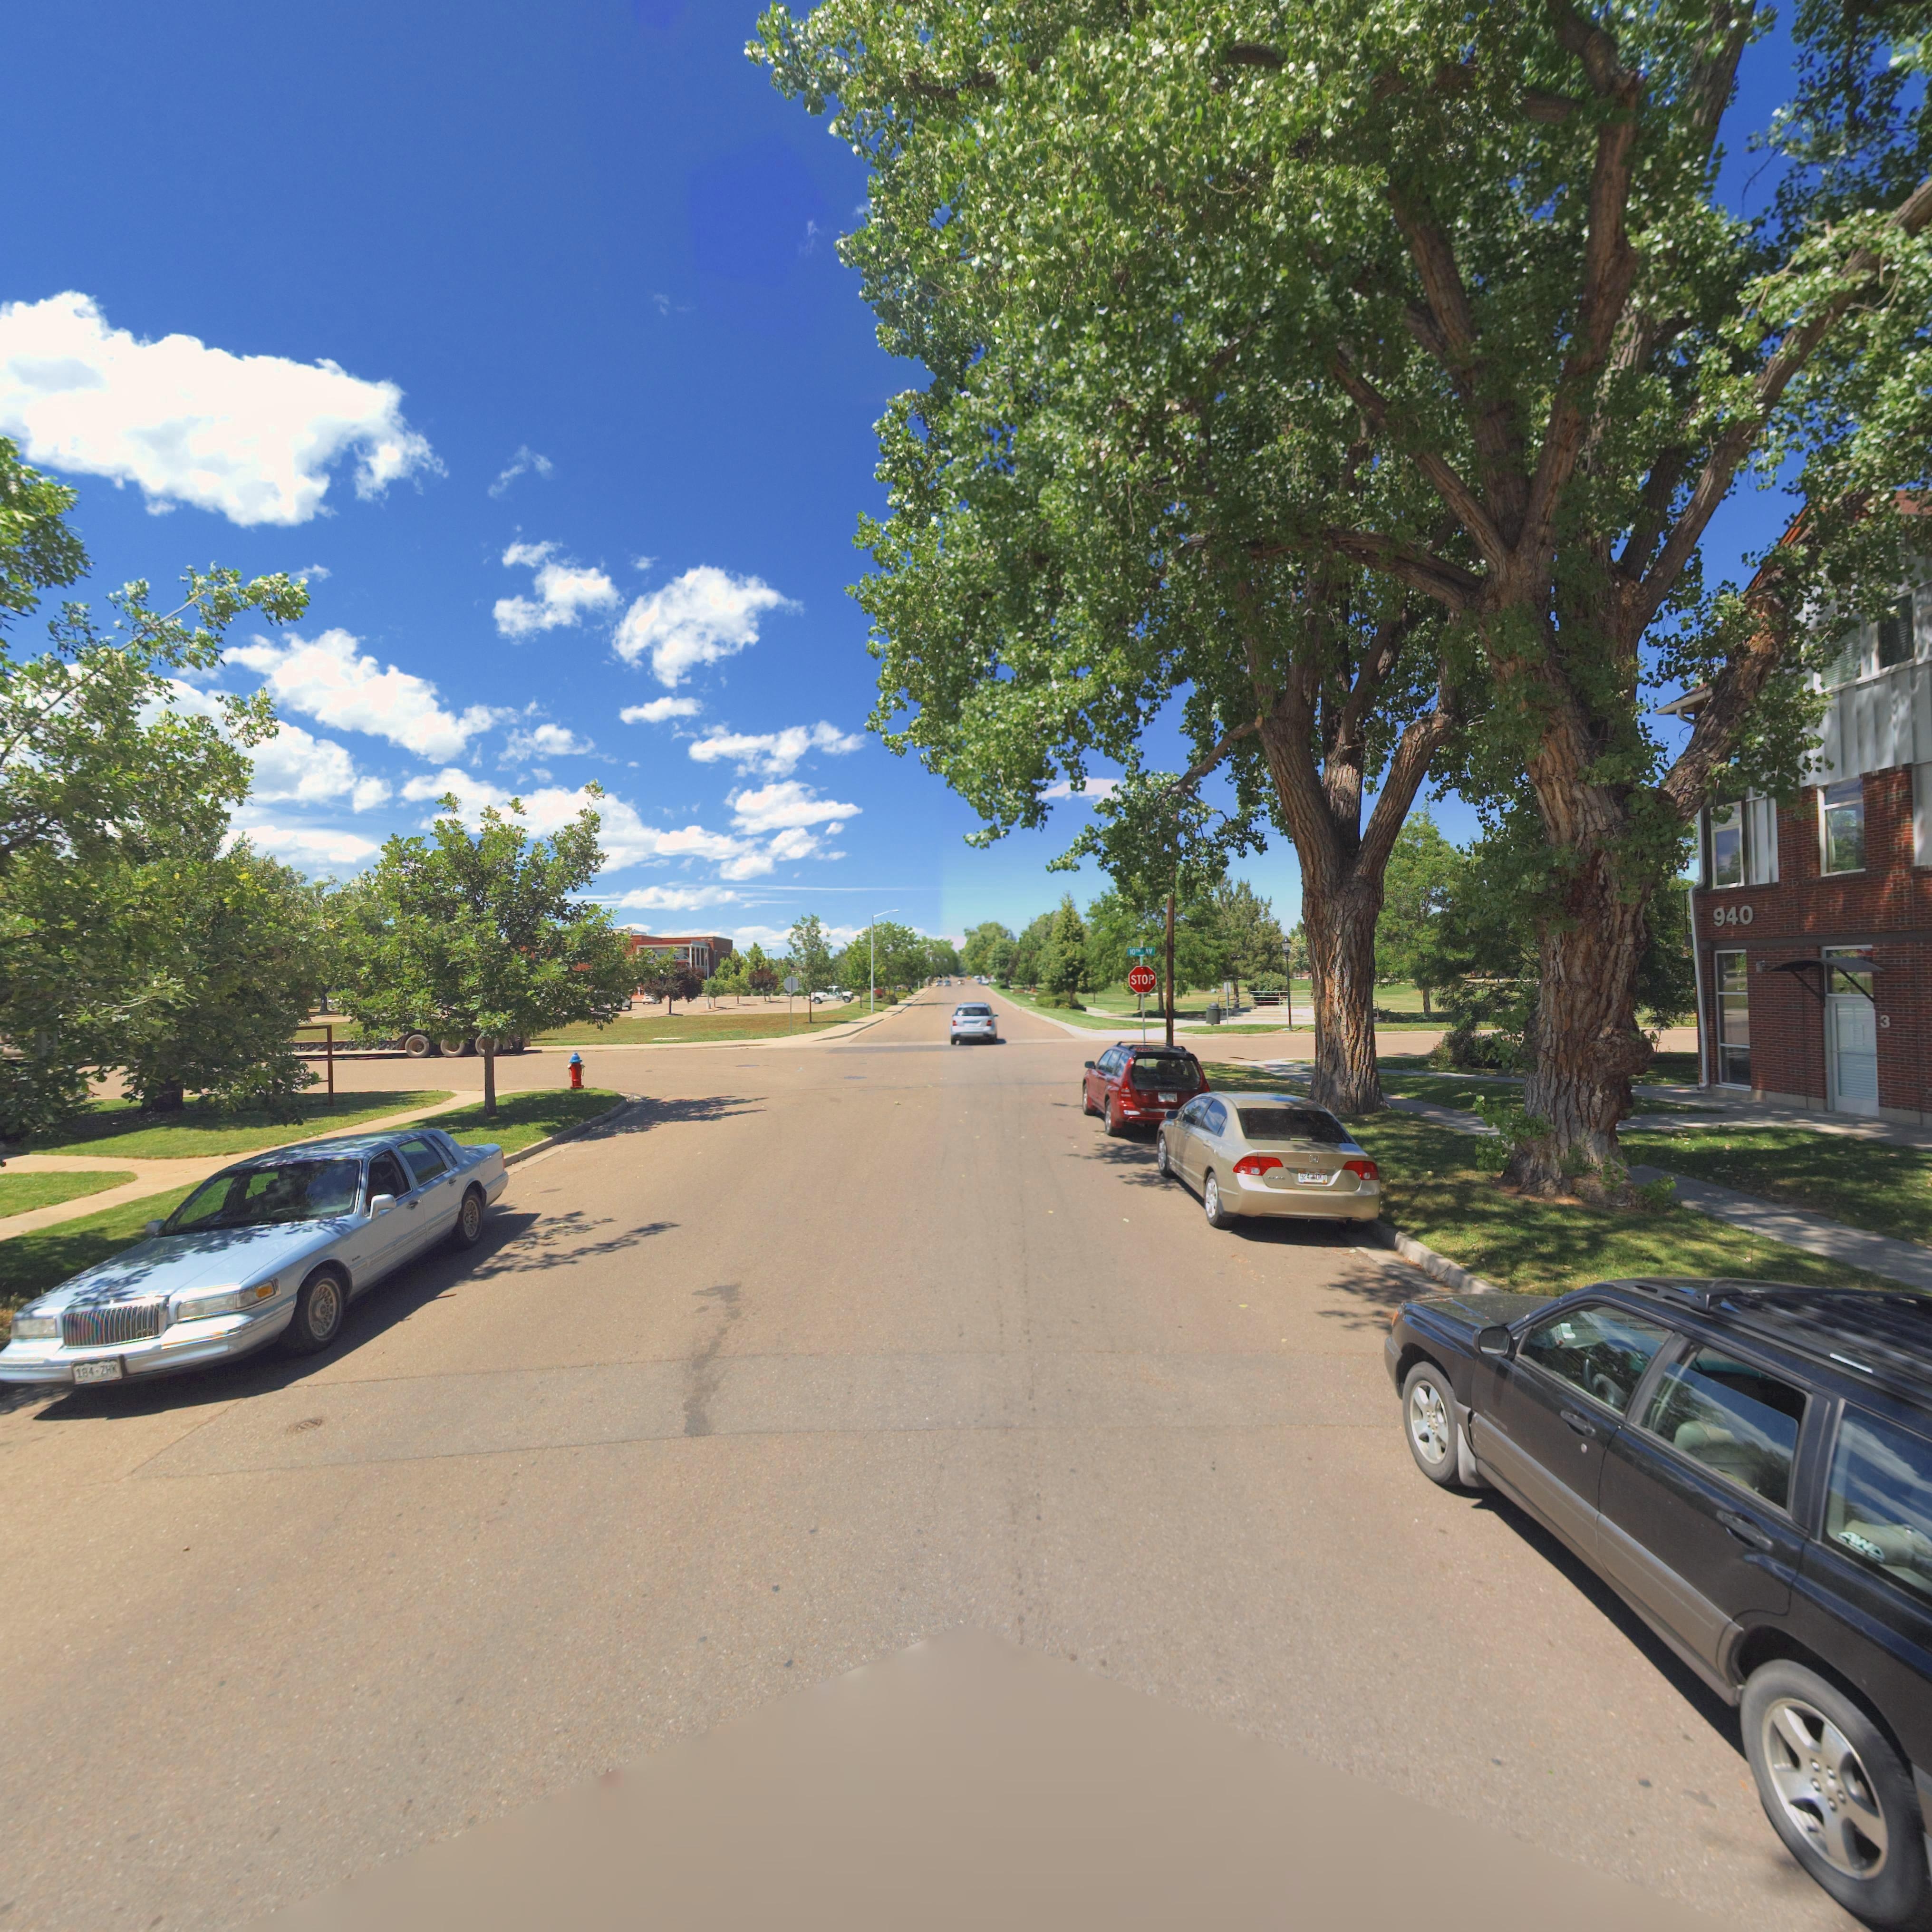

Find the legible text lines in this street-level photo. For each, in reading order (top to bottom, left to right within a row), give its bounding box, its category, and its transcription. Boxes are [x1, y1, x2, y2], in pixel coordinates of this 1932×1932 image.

[1712, 905, 1753, 927] StreetNumber: 940
[1129, 948, 1153, 955] StreetName: 10TH AV